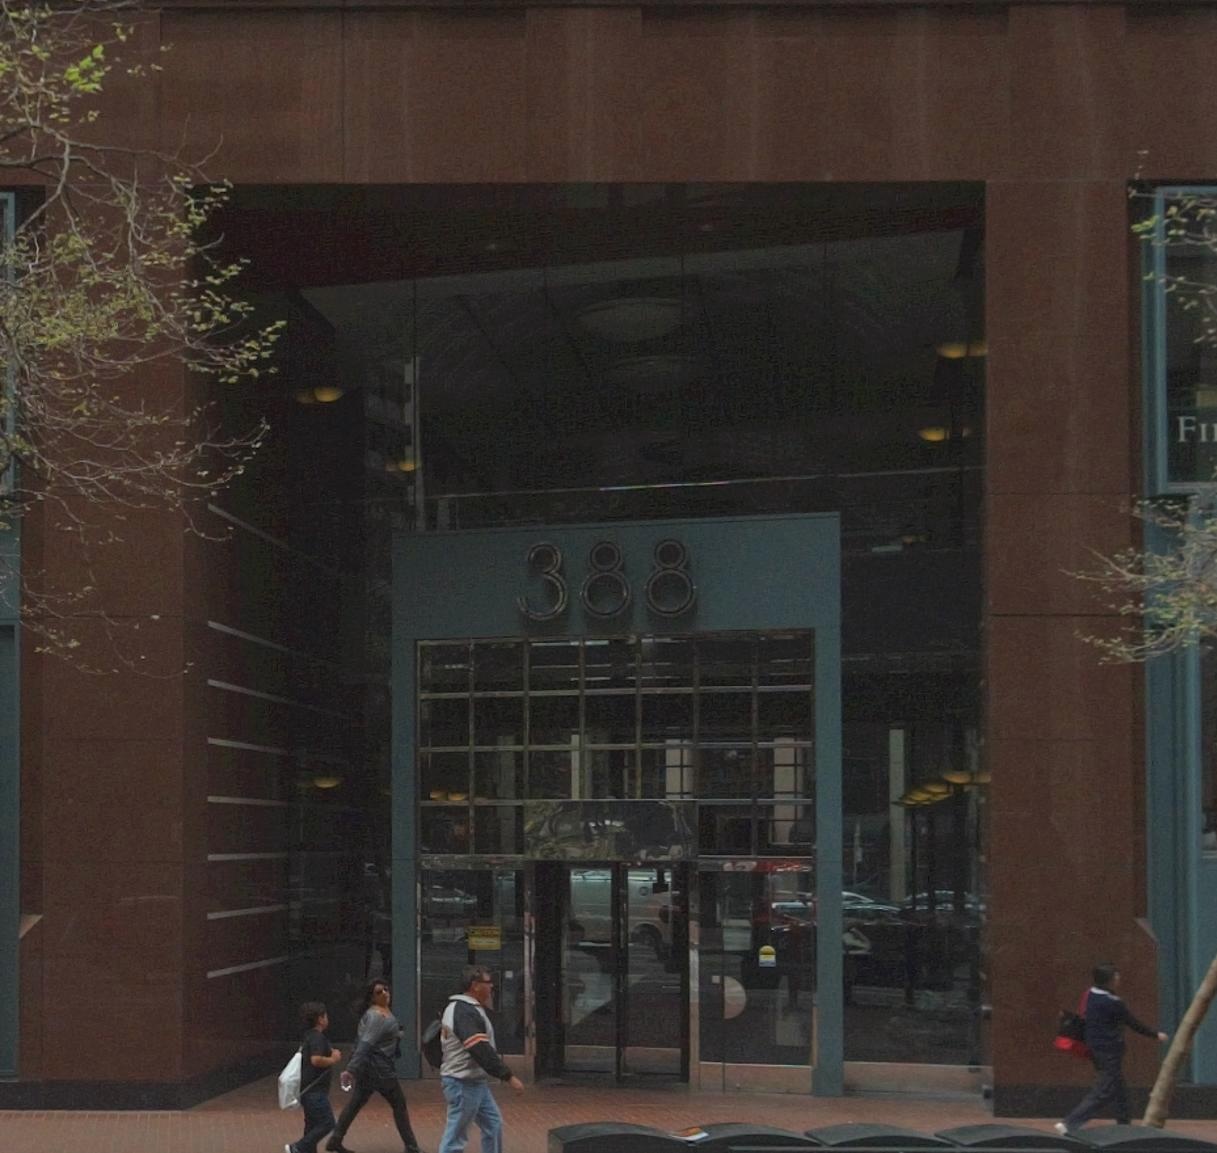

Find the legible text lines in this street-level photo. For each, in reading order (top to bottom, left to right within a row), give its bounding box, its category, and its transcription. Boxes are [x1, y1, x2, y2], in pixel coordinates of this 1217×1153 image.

[510, 533, 701, 627] StreetNumber: 388